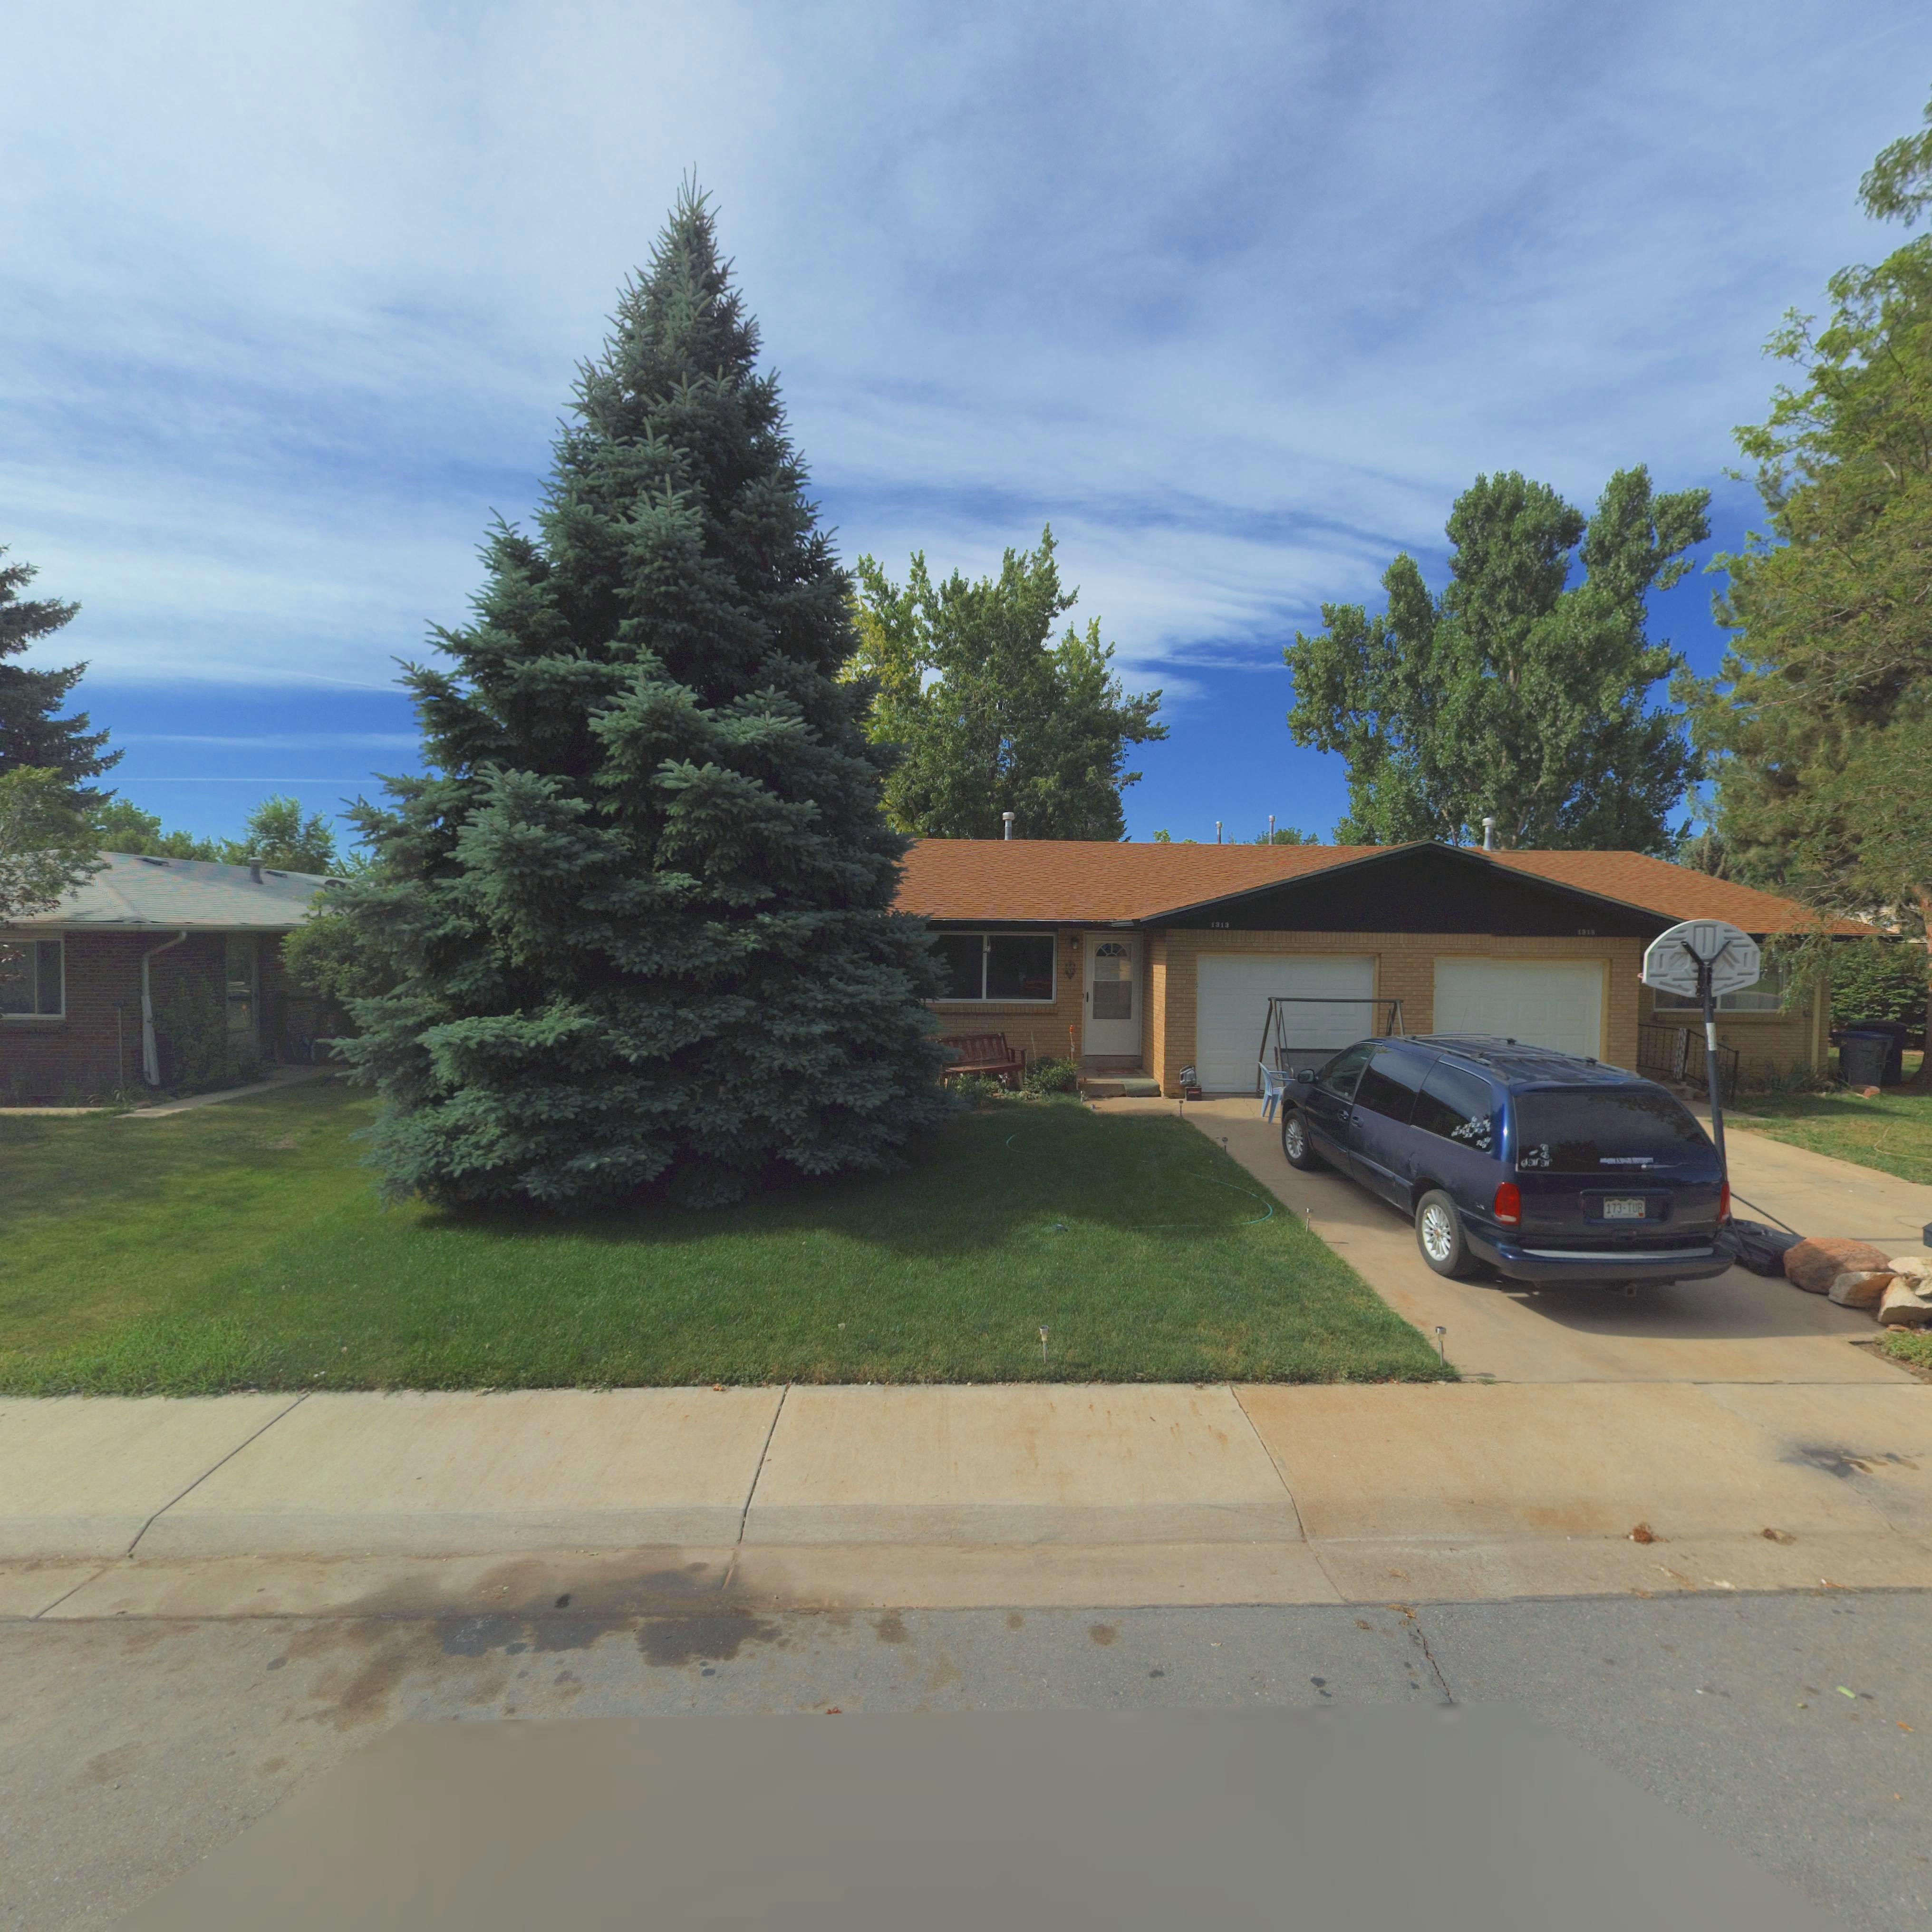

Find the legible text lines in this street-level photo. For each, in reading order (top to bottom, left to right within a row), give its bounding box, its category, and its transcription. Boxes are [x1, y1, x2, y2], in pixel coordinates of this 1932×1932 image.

[1211, 921, 1229, 928] StreetNumber: 1313
[1578, 929, 1594, 935] StreetNumber: 1315